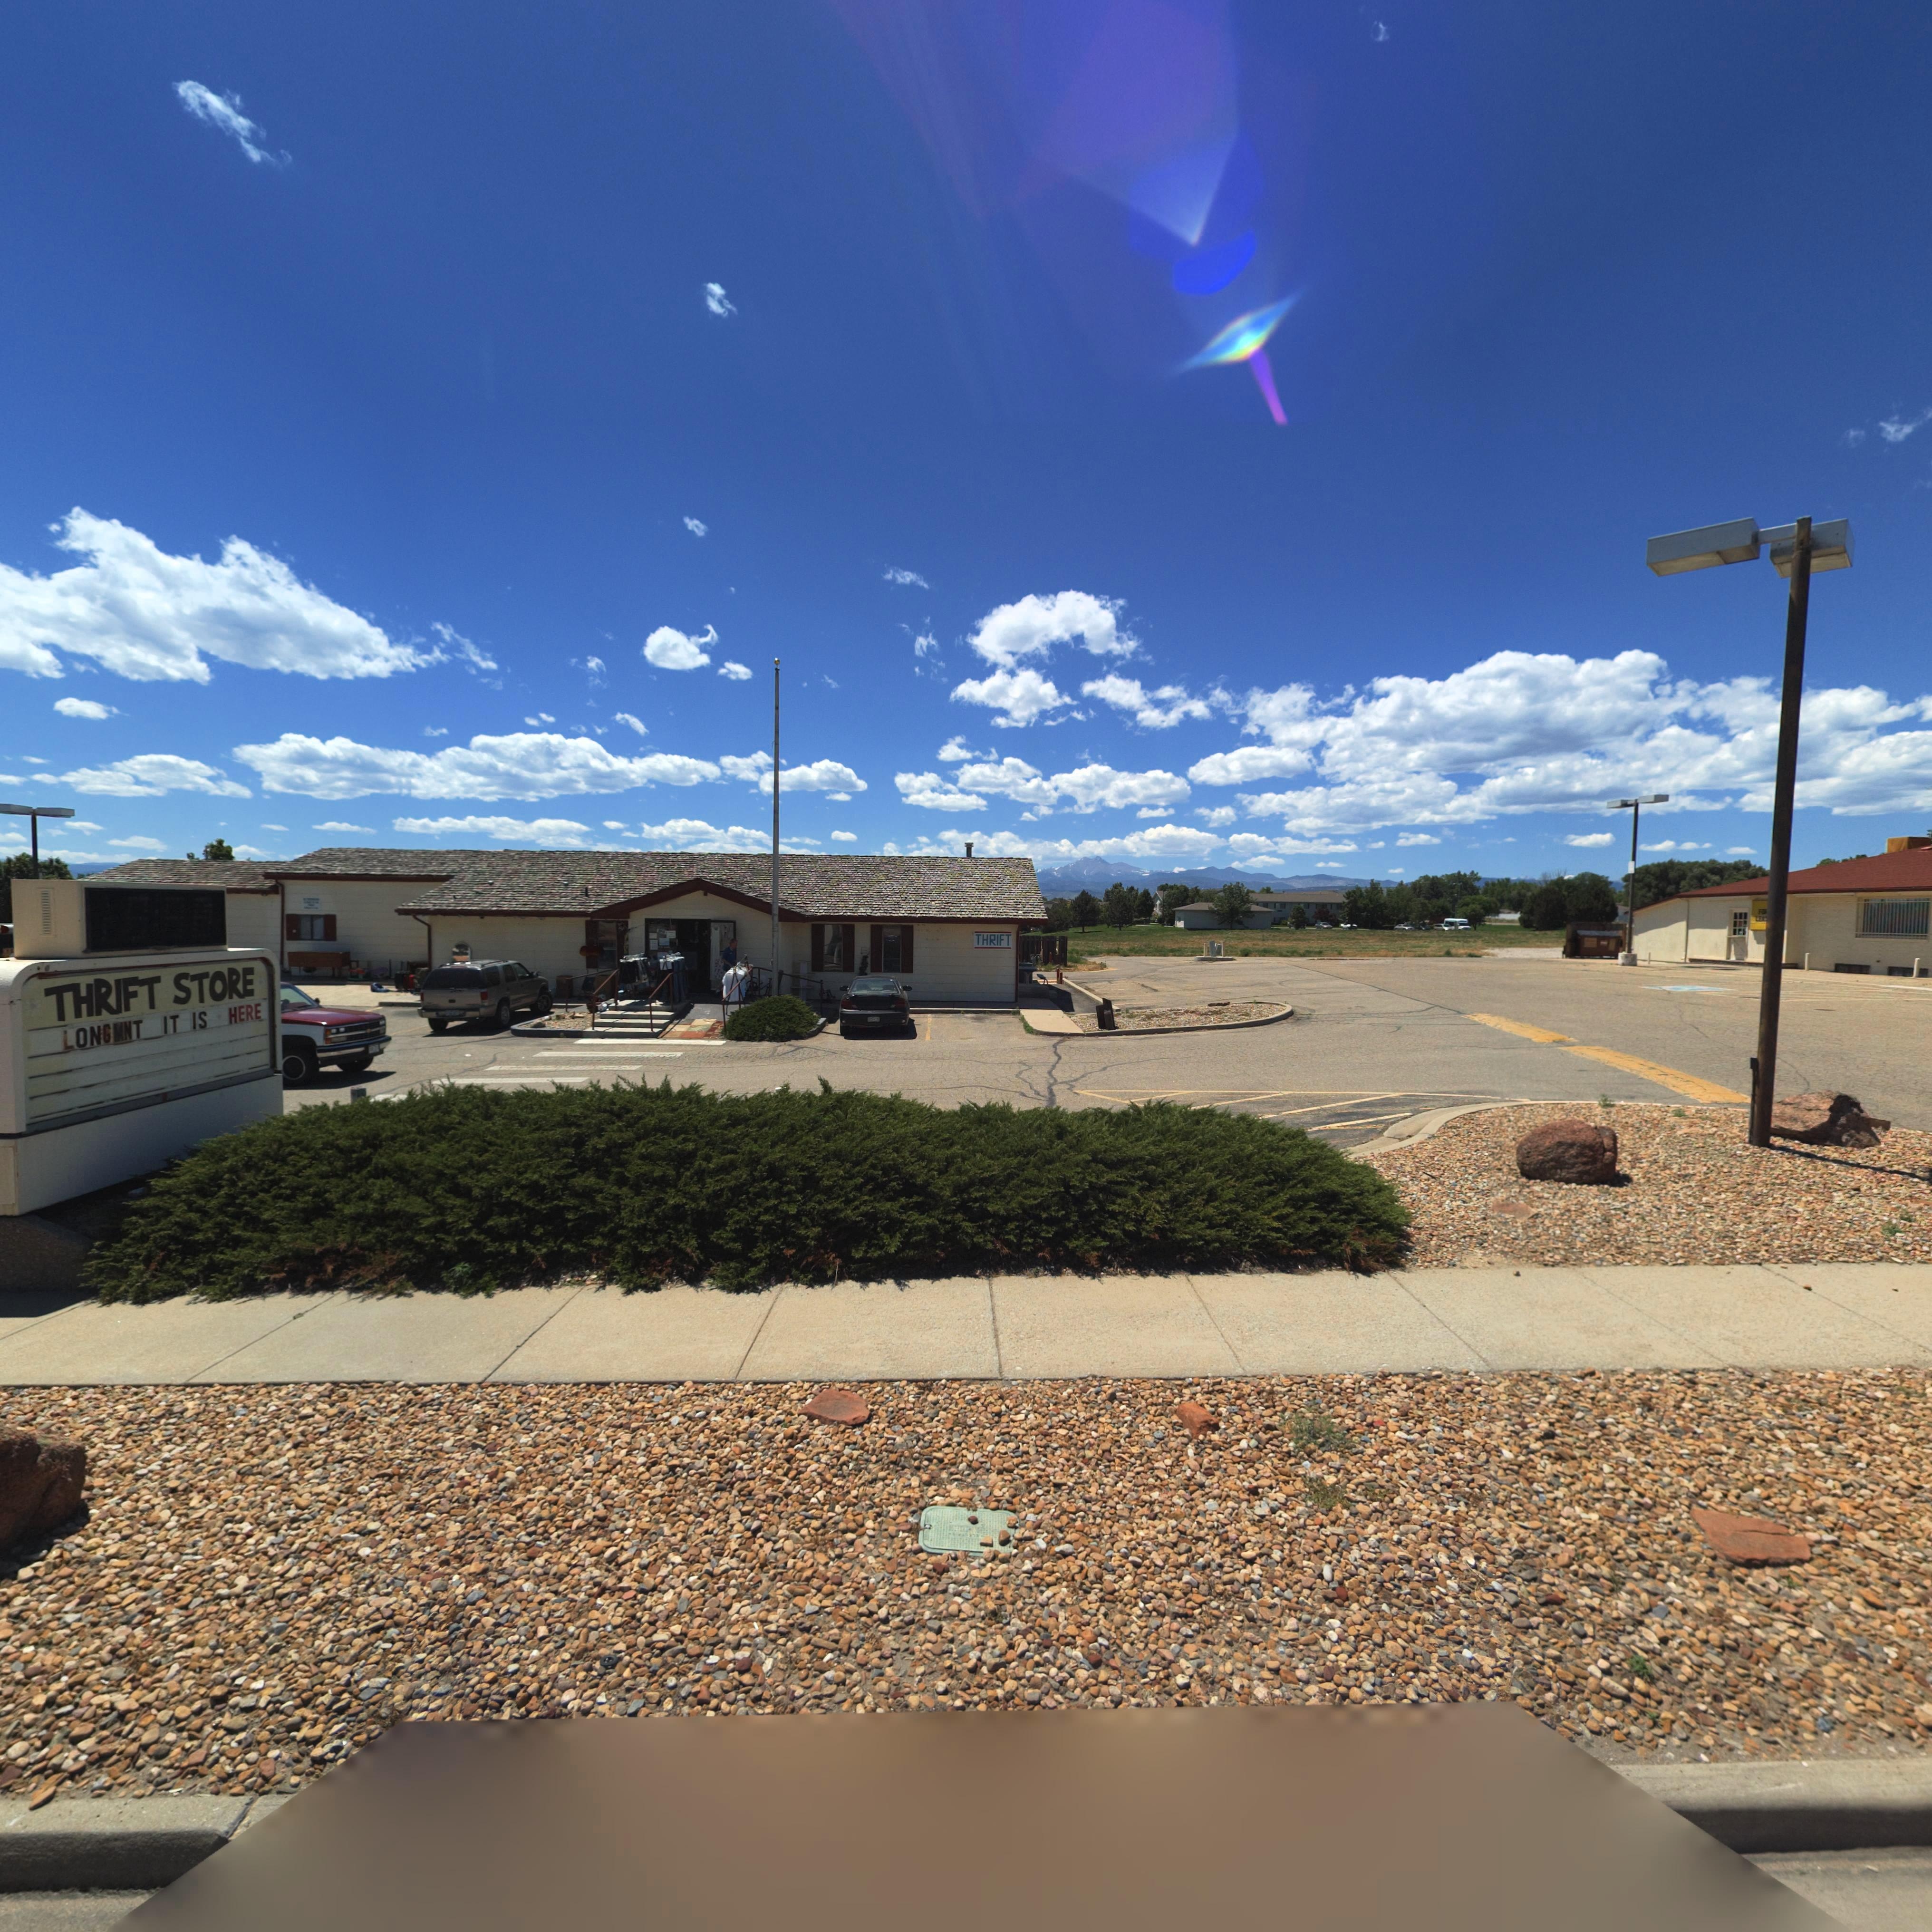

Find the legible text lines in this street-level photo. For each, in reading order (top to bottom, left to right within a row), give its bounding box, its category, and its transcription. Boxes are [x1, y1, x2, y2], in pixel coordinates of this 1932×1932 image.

[42, 966, 256, 1022] BusinessName: THRIFT STORE